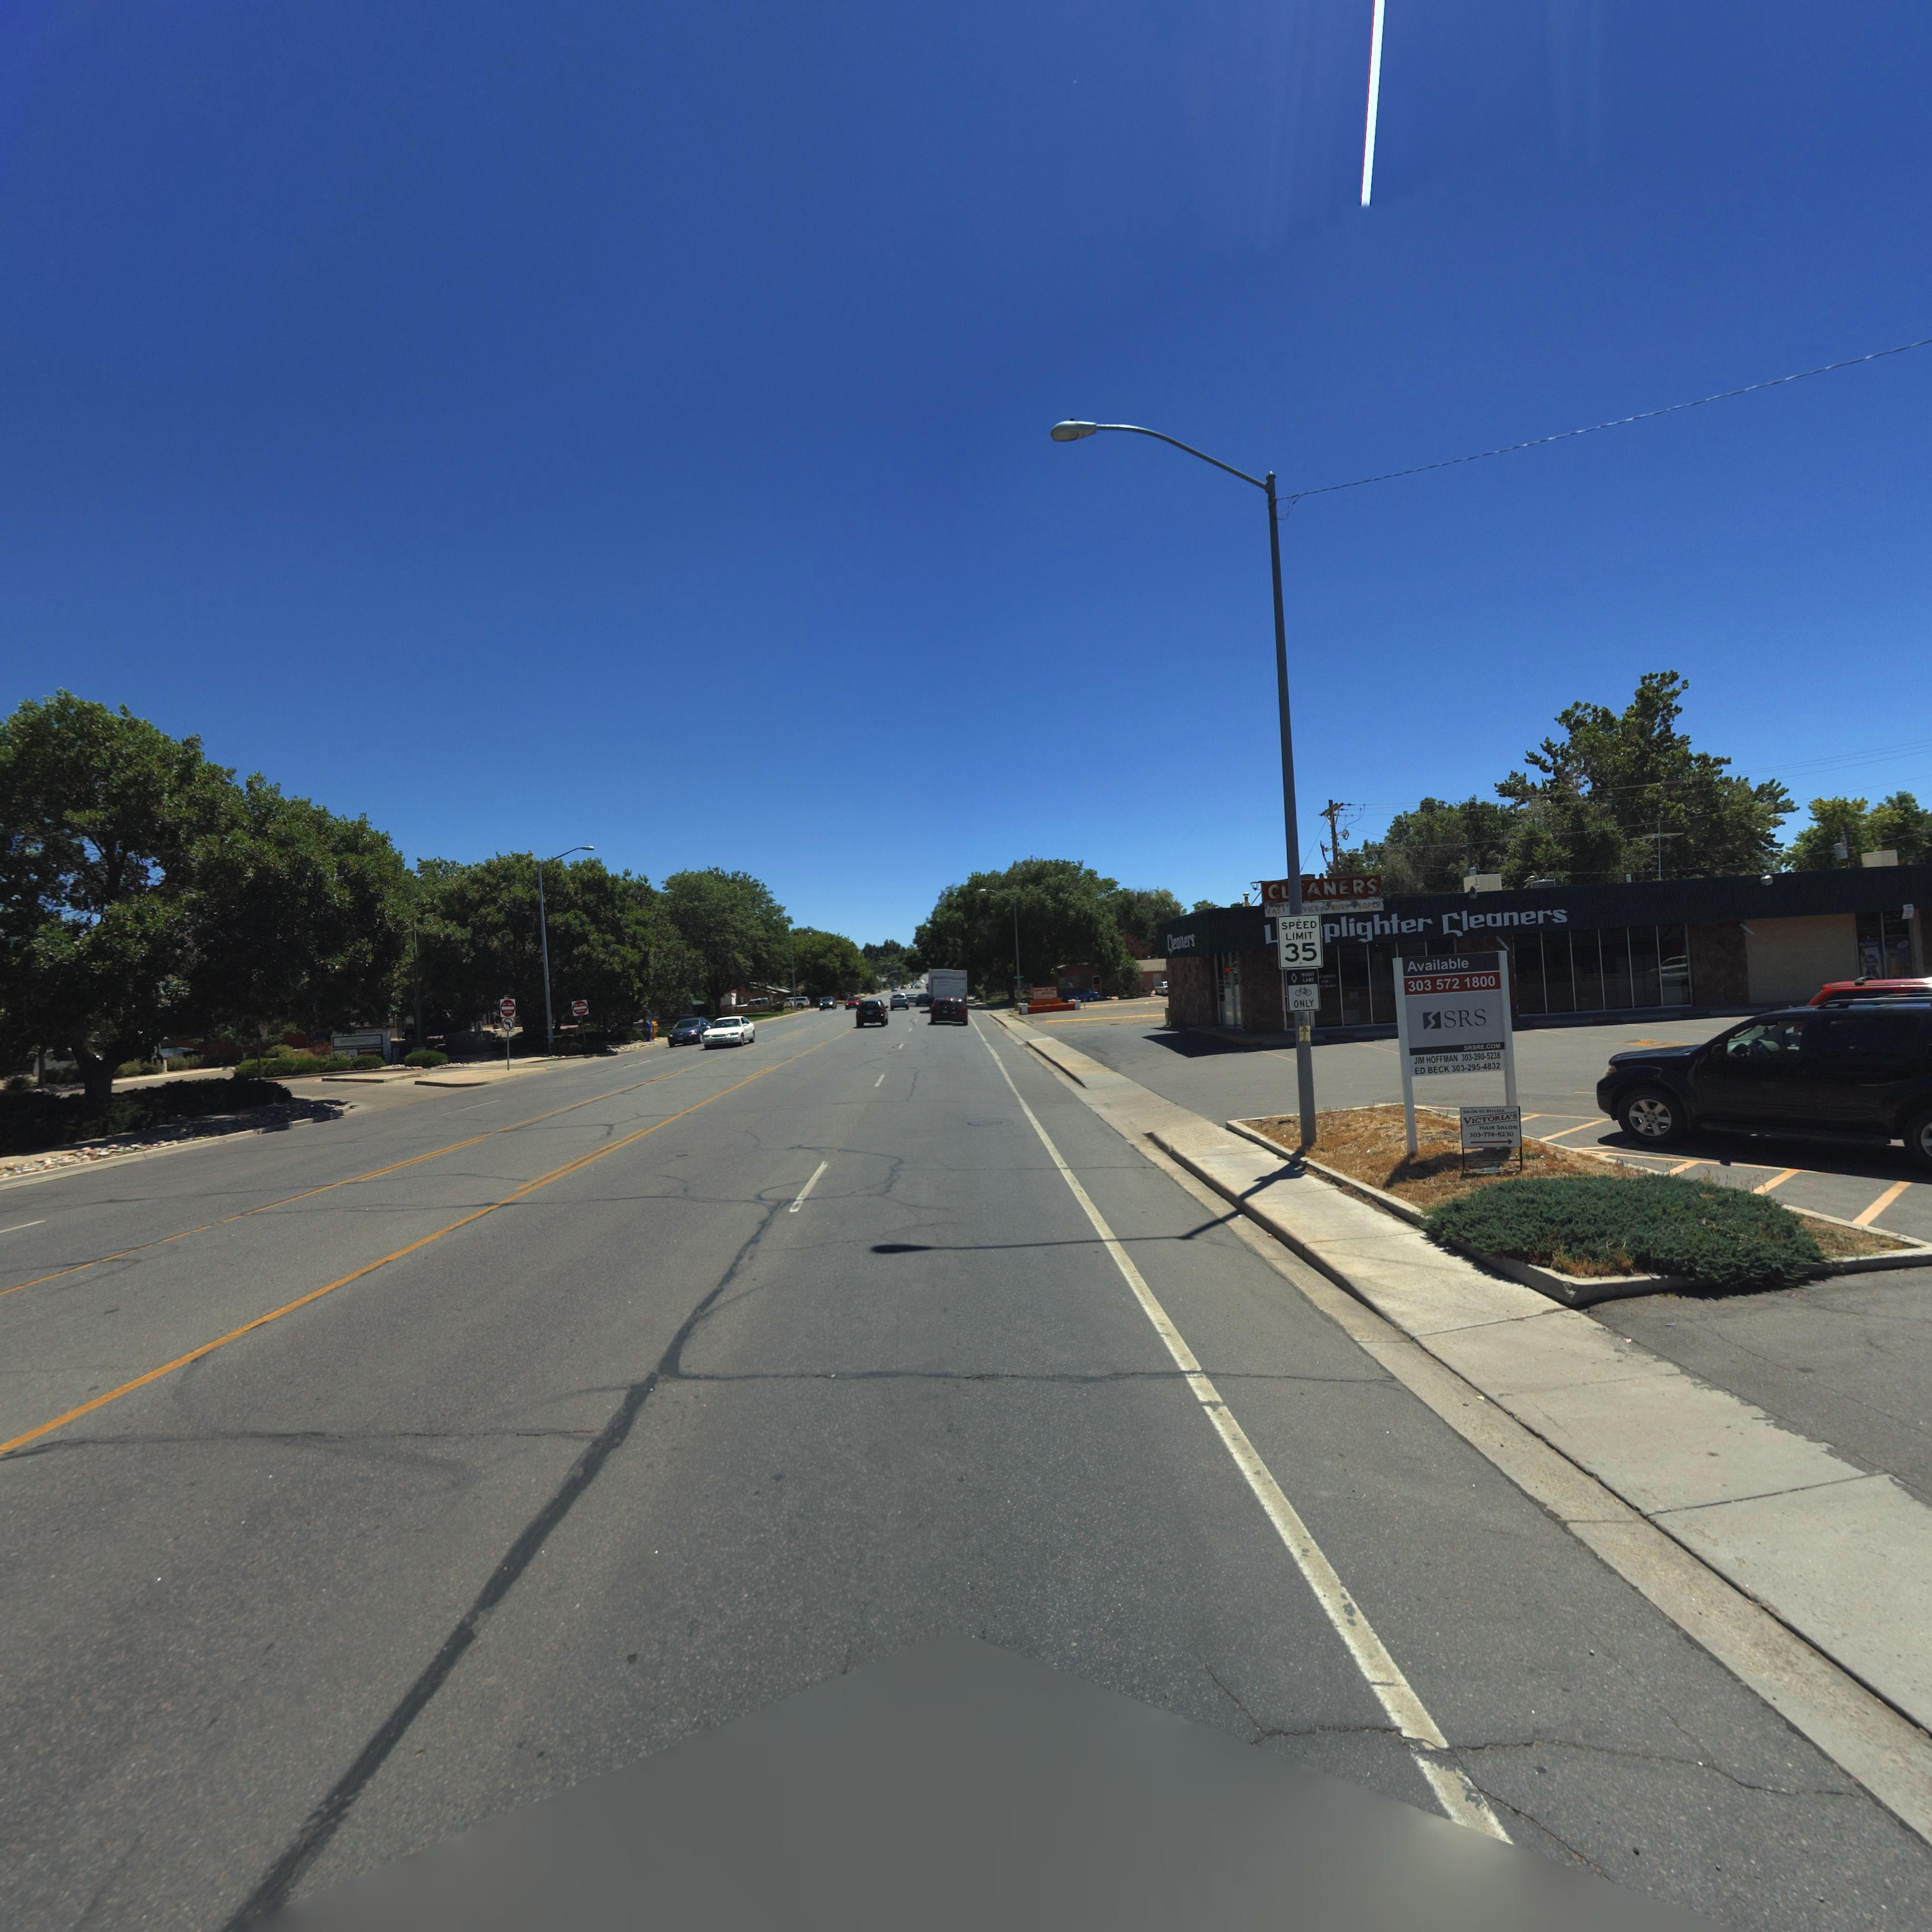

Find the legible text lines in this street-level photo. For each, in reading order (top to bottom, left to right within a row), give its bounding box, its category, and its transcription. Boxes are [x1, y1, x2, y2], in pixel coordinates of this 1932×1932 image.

[1262, 907, 1569, 946] BusinessName: L**plighter Cleaners
[1166, 933, 1196, 955] BusinessName: Cleaners
[358, 1047, 382, 1053] BusinessName: SHOWTIME
[1462, 1113, 1517, 1125] BusinessName: VICTORIA'S
[1479, 1124, 1517, 1130] BusinessName: HAIR SALON